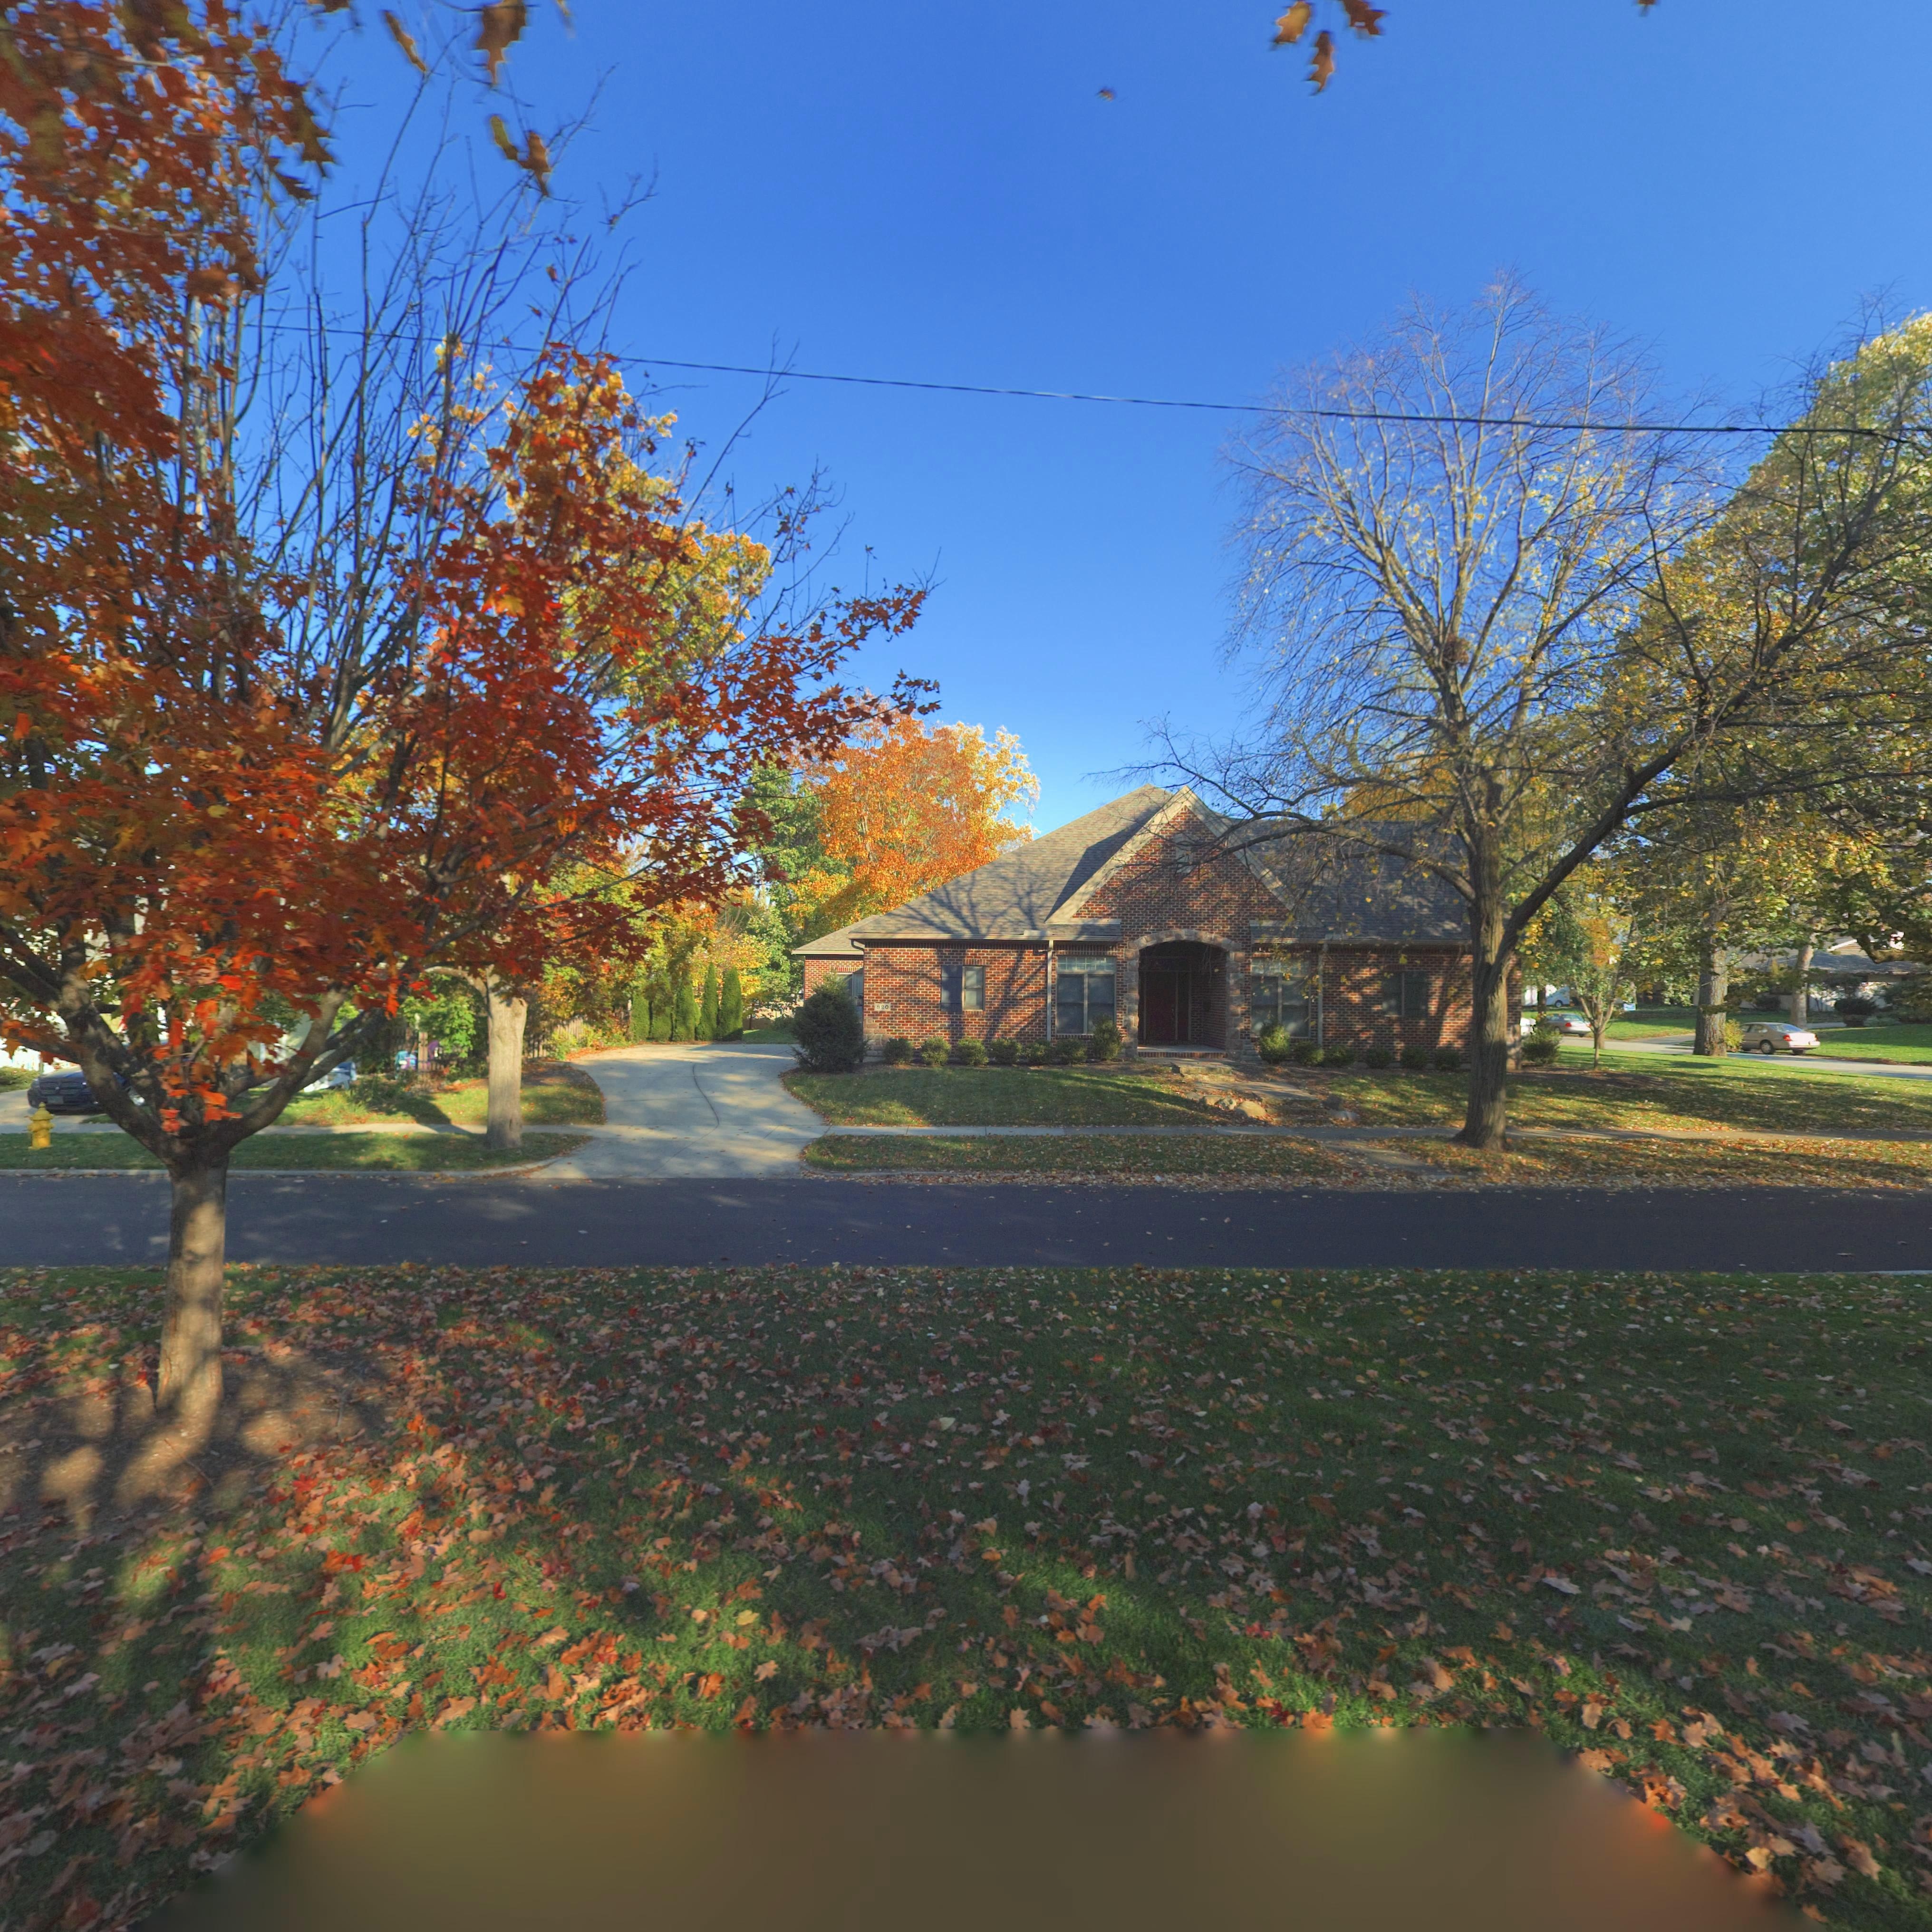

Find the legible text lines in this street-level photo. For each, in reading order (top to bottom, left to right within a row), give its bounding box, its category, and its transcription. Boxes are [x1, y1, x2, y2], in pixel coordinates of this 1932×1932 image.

[876, 1004, 889, 1010] StreetNumber: 820